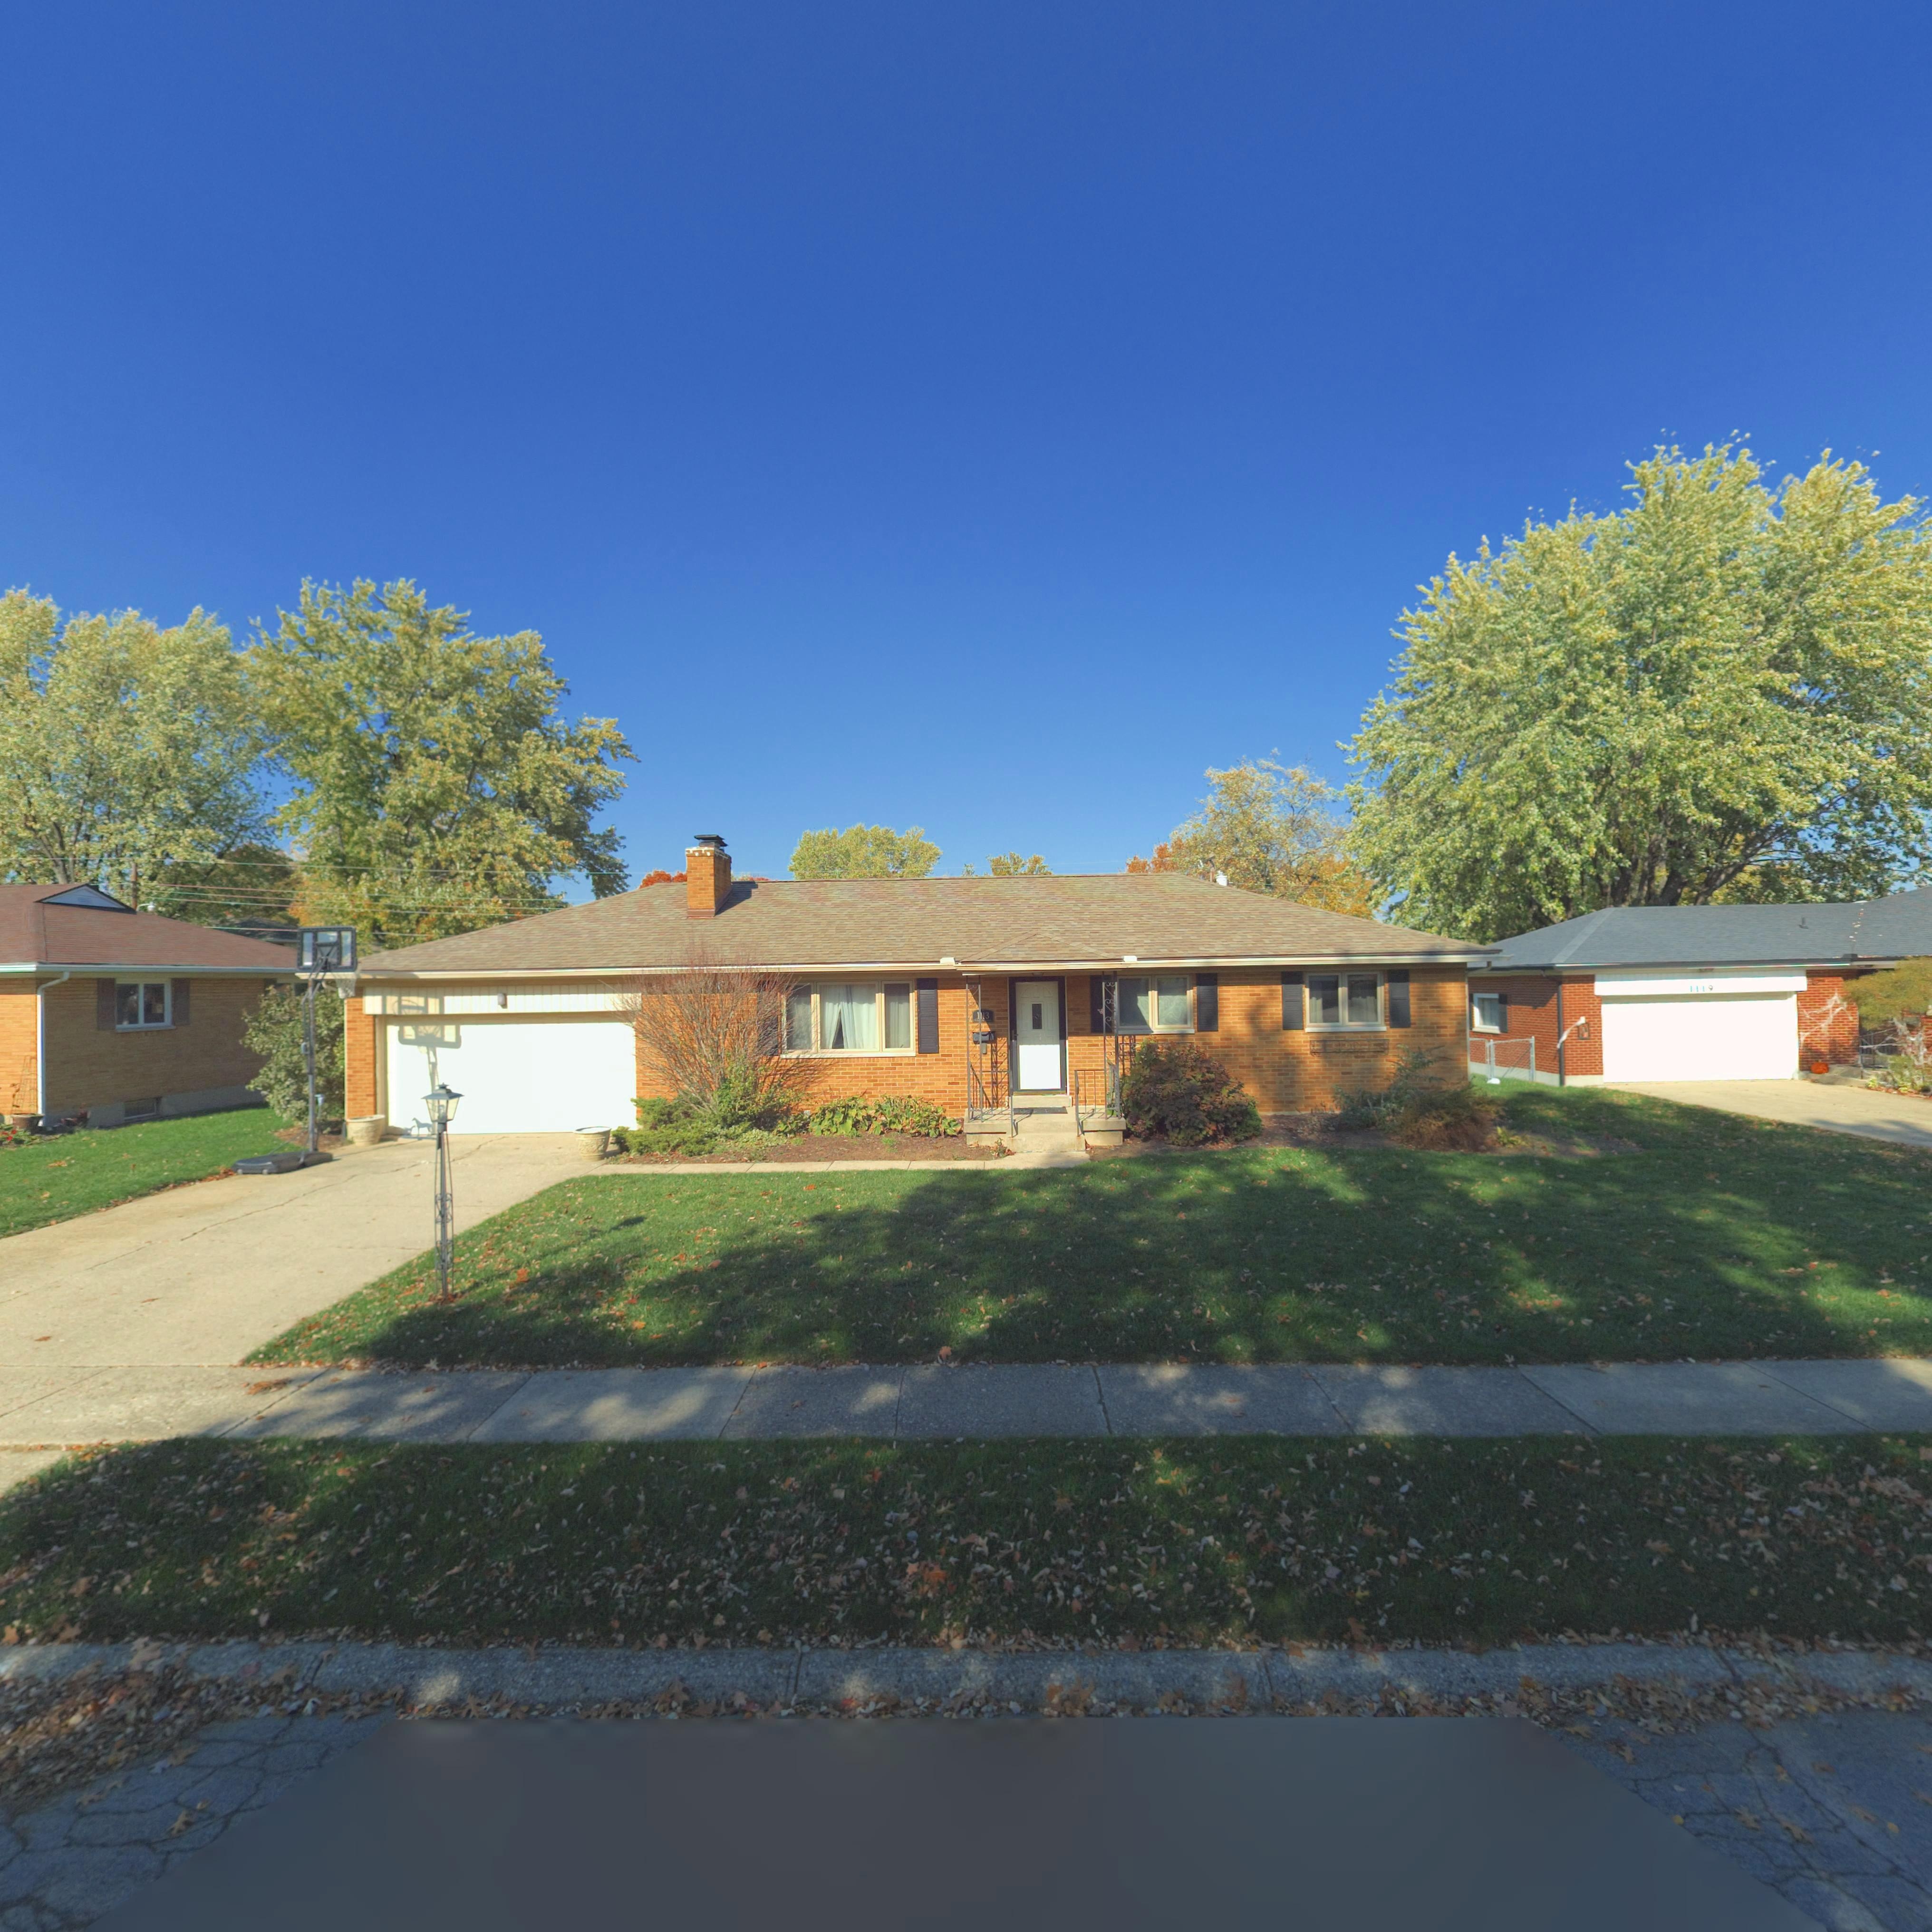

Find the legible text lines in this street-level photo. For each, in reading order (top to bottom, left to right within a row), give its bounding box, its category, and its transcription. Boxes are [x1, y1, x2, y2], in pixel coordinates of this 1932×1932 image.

[1689, 984, 1713, 993] StreetNumber: 1119
[976, 1011, 990, 1020] StreetNumber: 1113